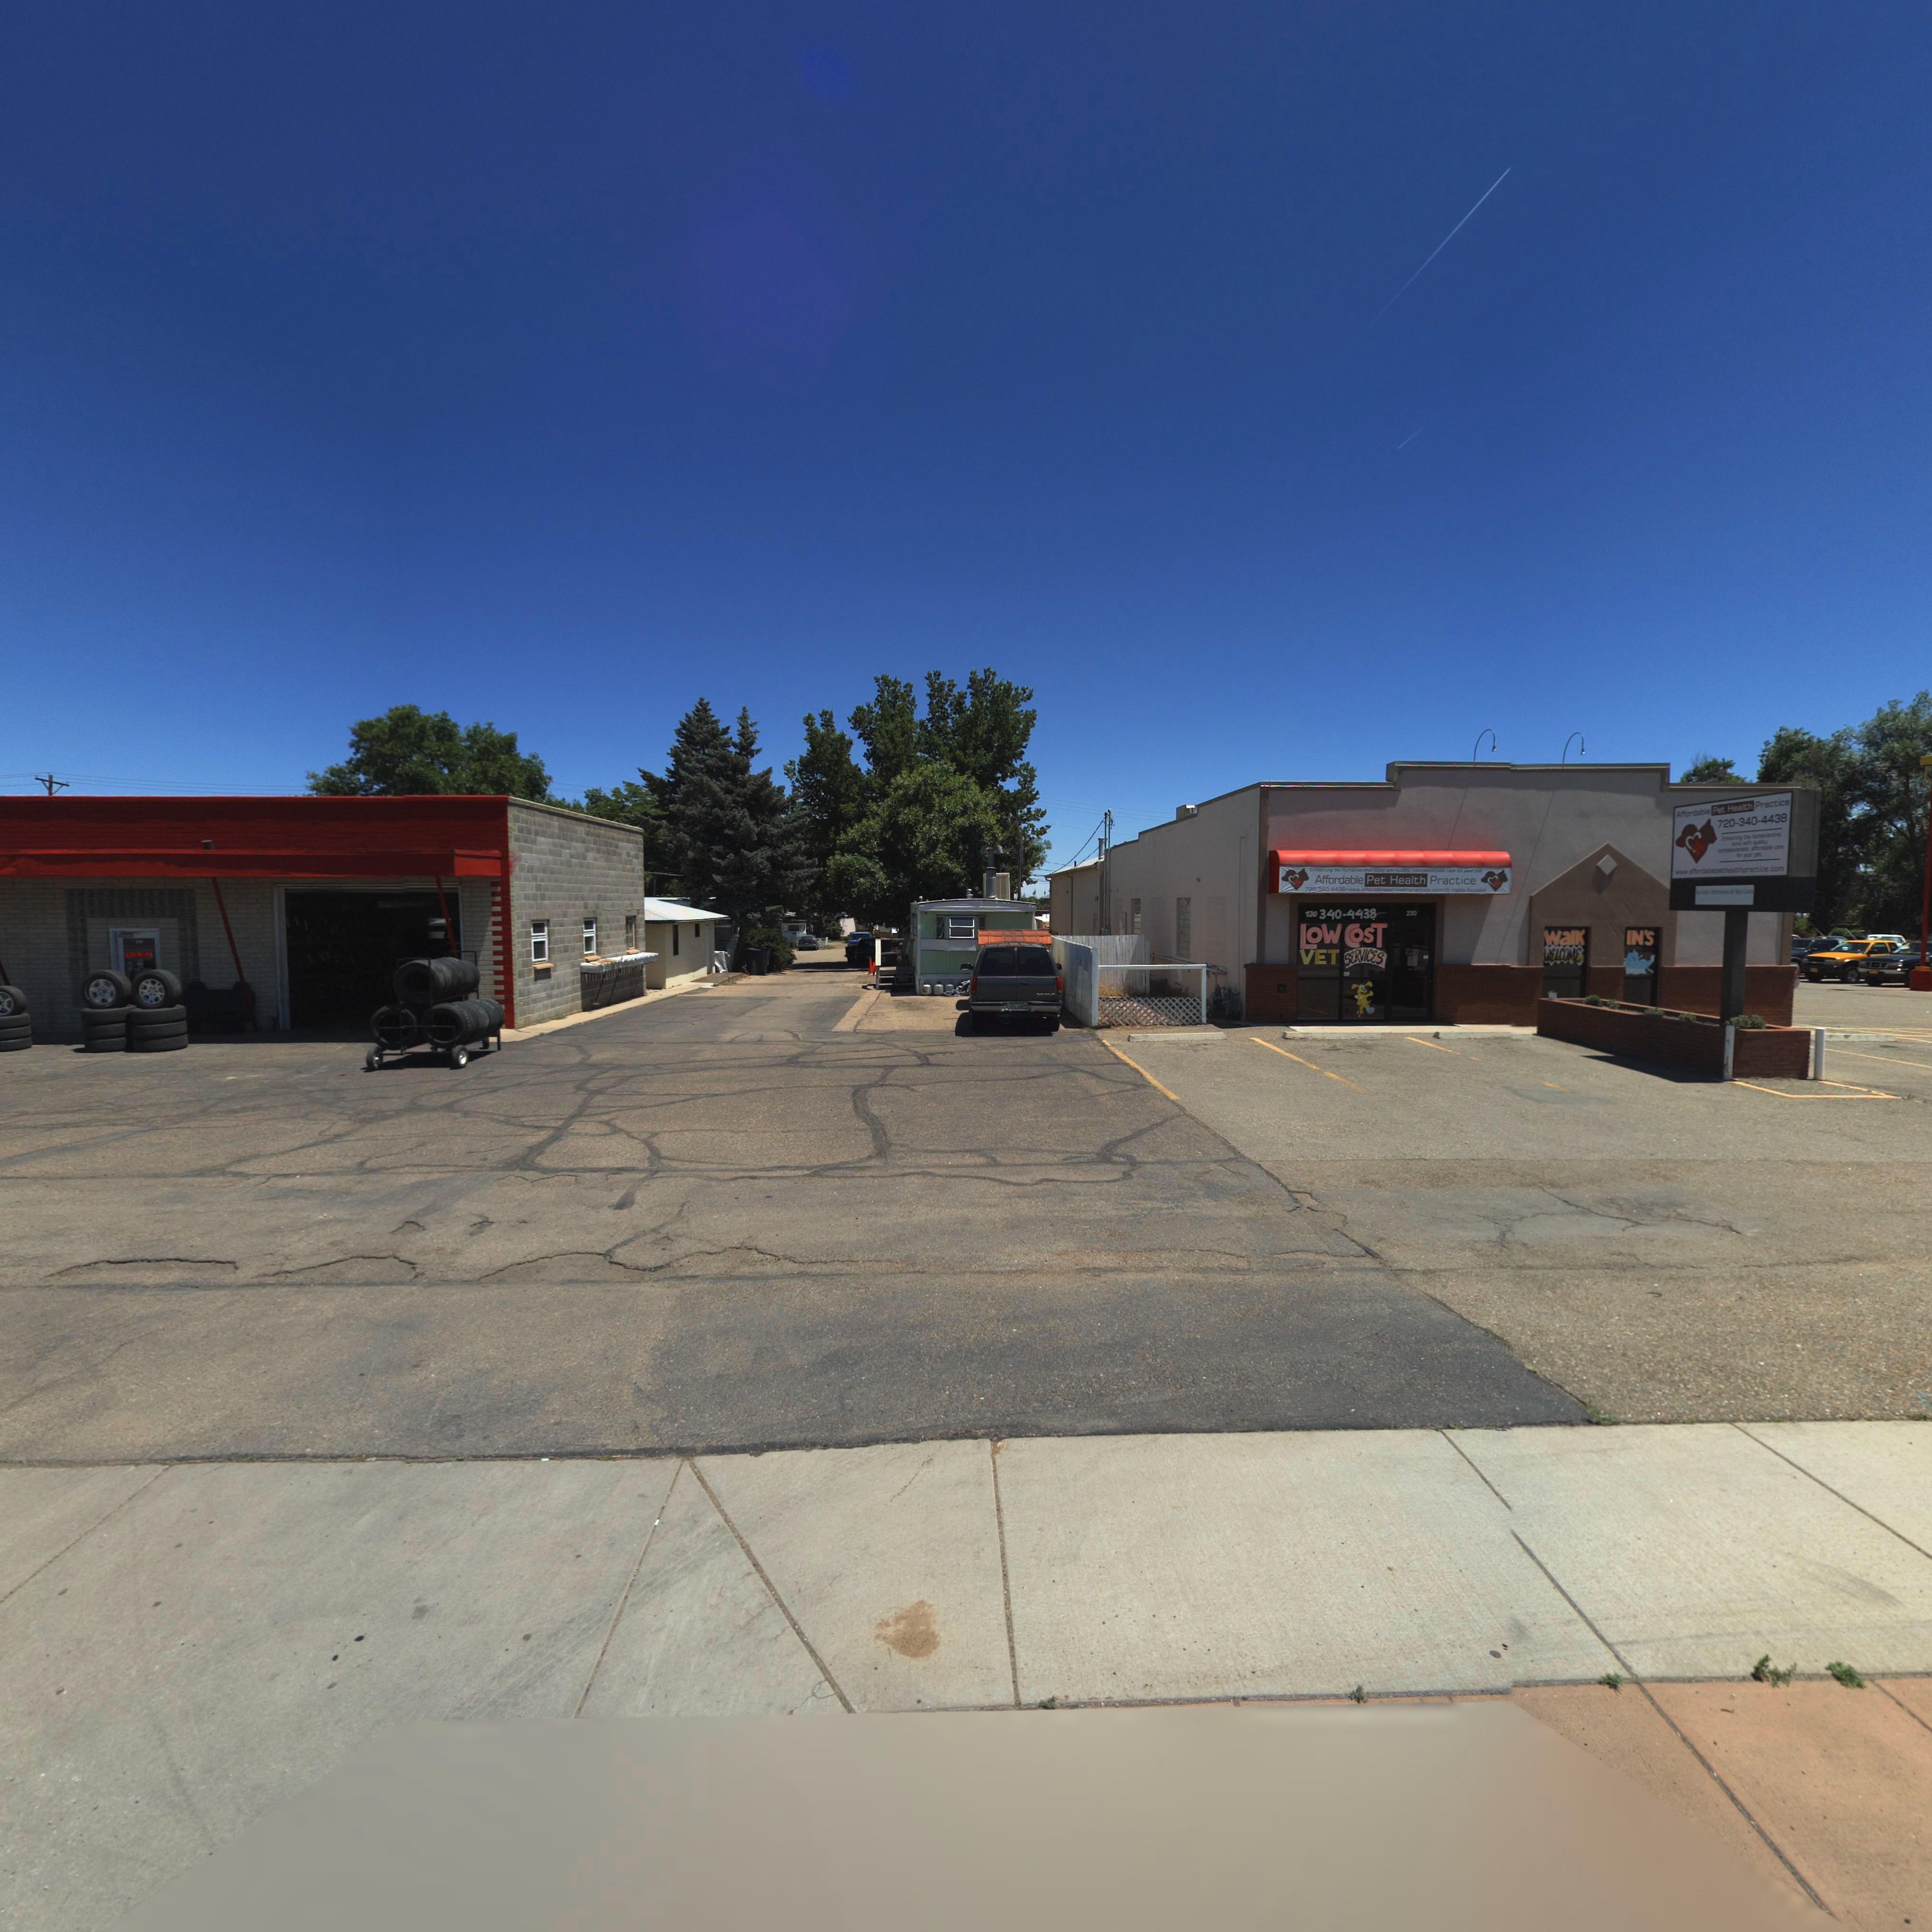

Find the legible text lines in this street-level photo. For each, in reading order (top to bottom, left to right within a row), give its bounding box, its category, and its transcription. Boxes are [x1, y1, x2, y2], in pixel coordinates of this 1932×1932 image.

[1676, 798, 1790, 818] BusinessName: Affordable Pet Health Practice
[1314, 874, 1476, 885] BusinessName: Affordable Pet Health Practice
[1405, 910, 1417, 916] StreetNumber: 230